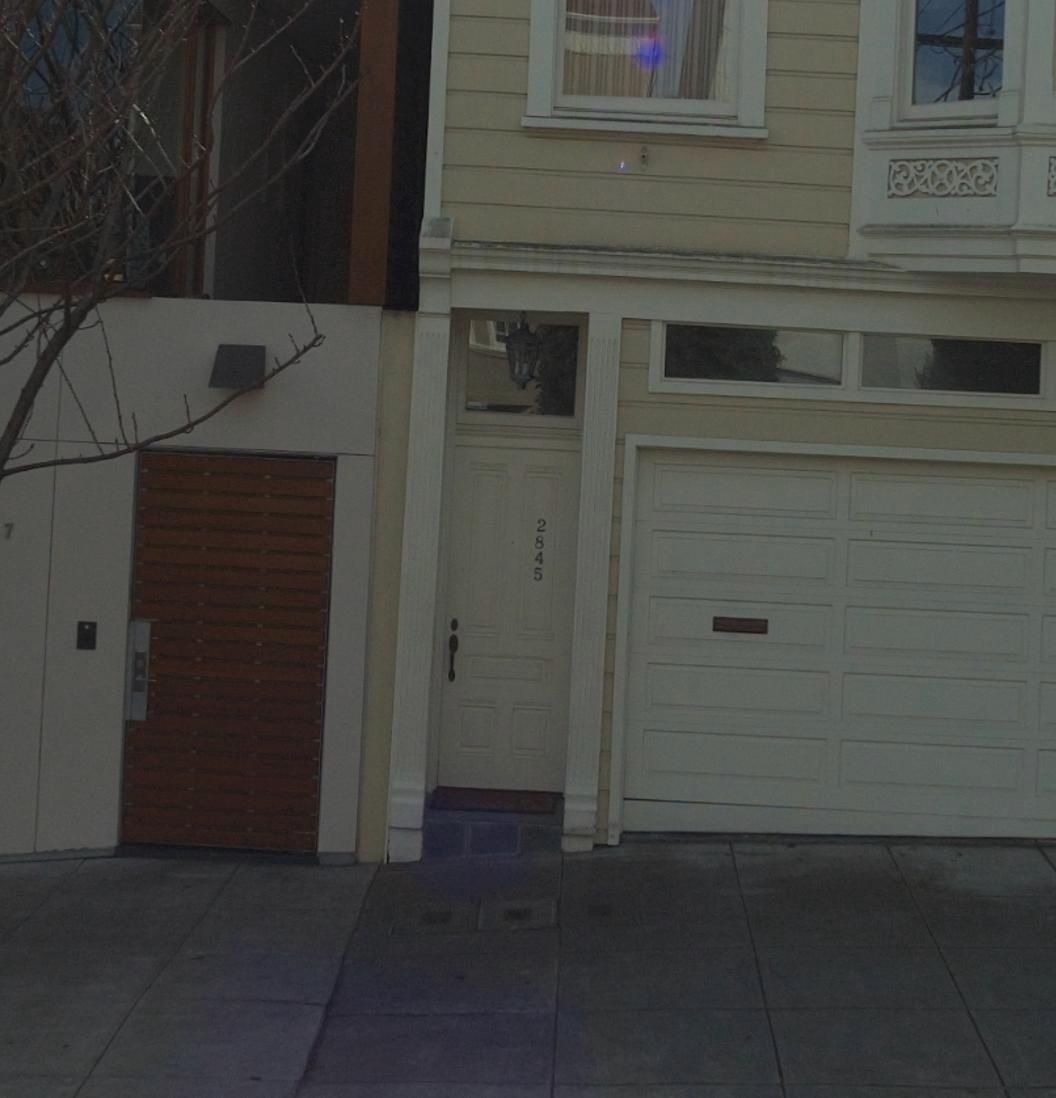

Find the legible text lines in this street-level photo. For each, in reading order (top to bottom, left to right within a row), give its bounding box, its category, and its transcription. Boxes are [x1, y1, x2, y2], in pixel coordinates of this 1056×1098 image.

[531, 515, 550, 584] StreetNumber: 2845